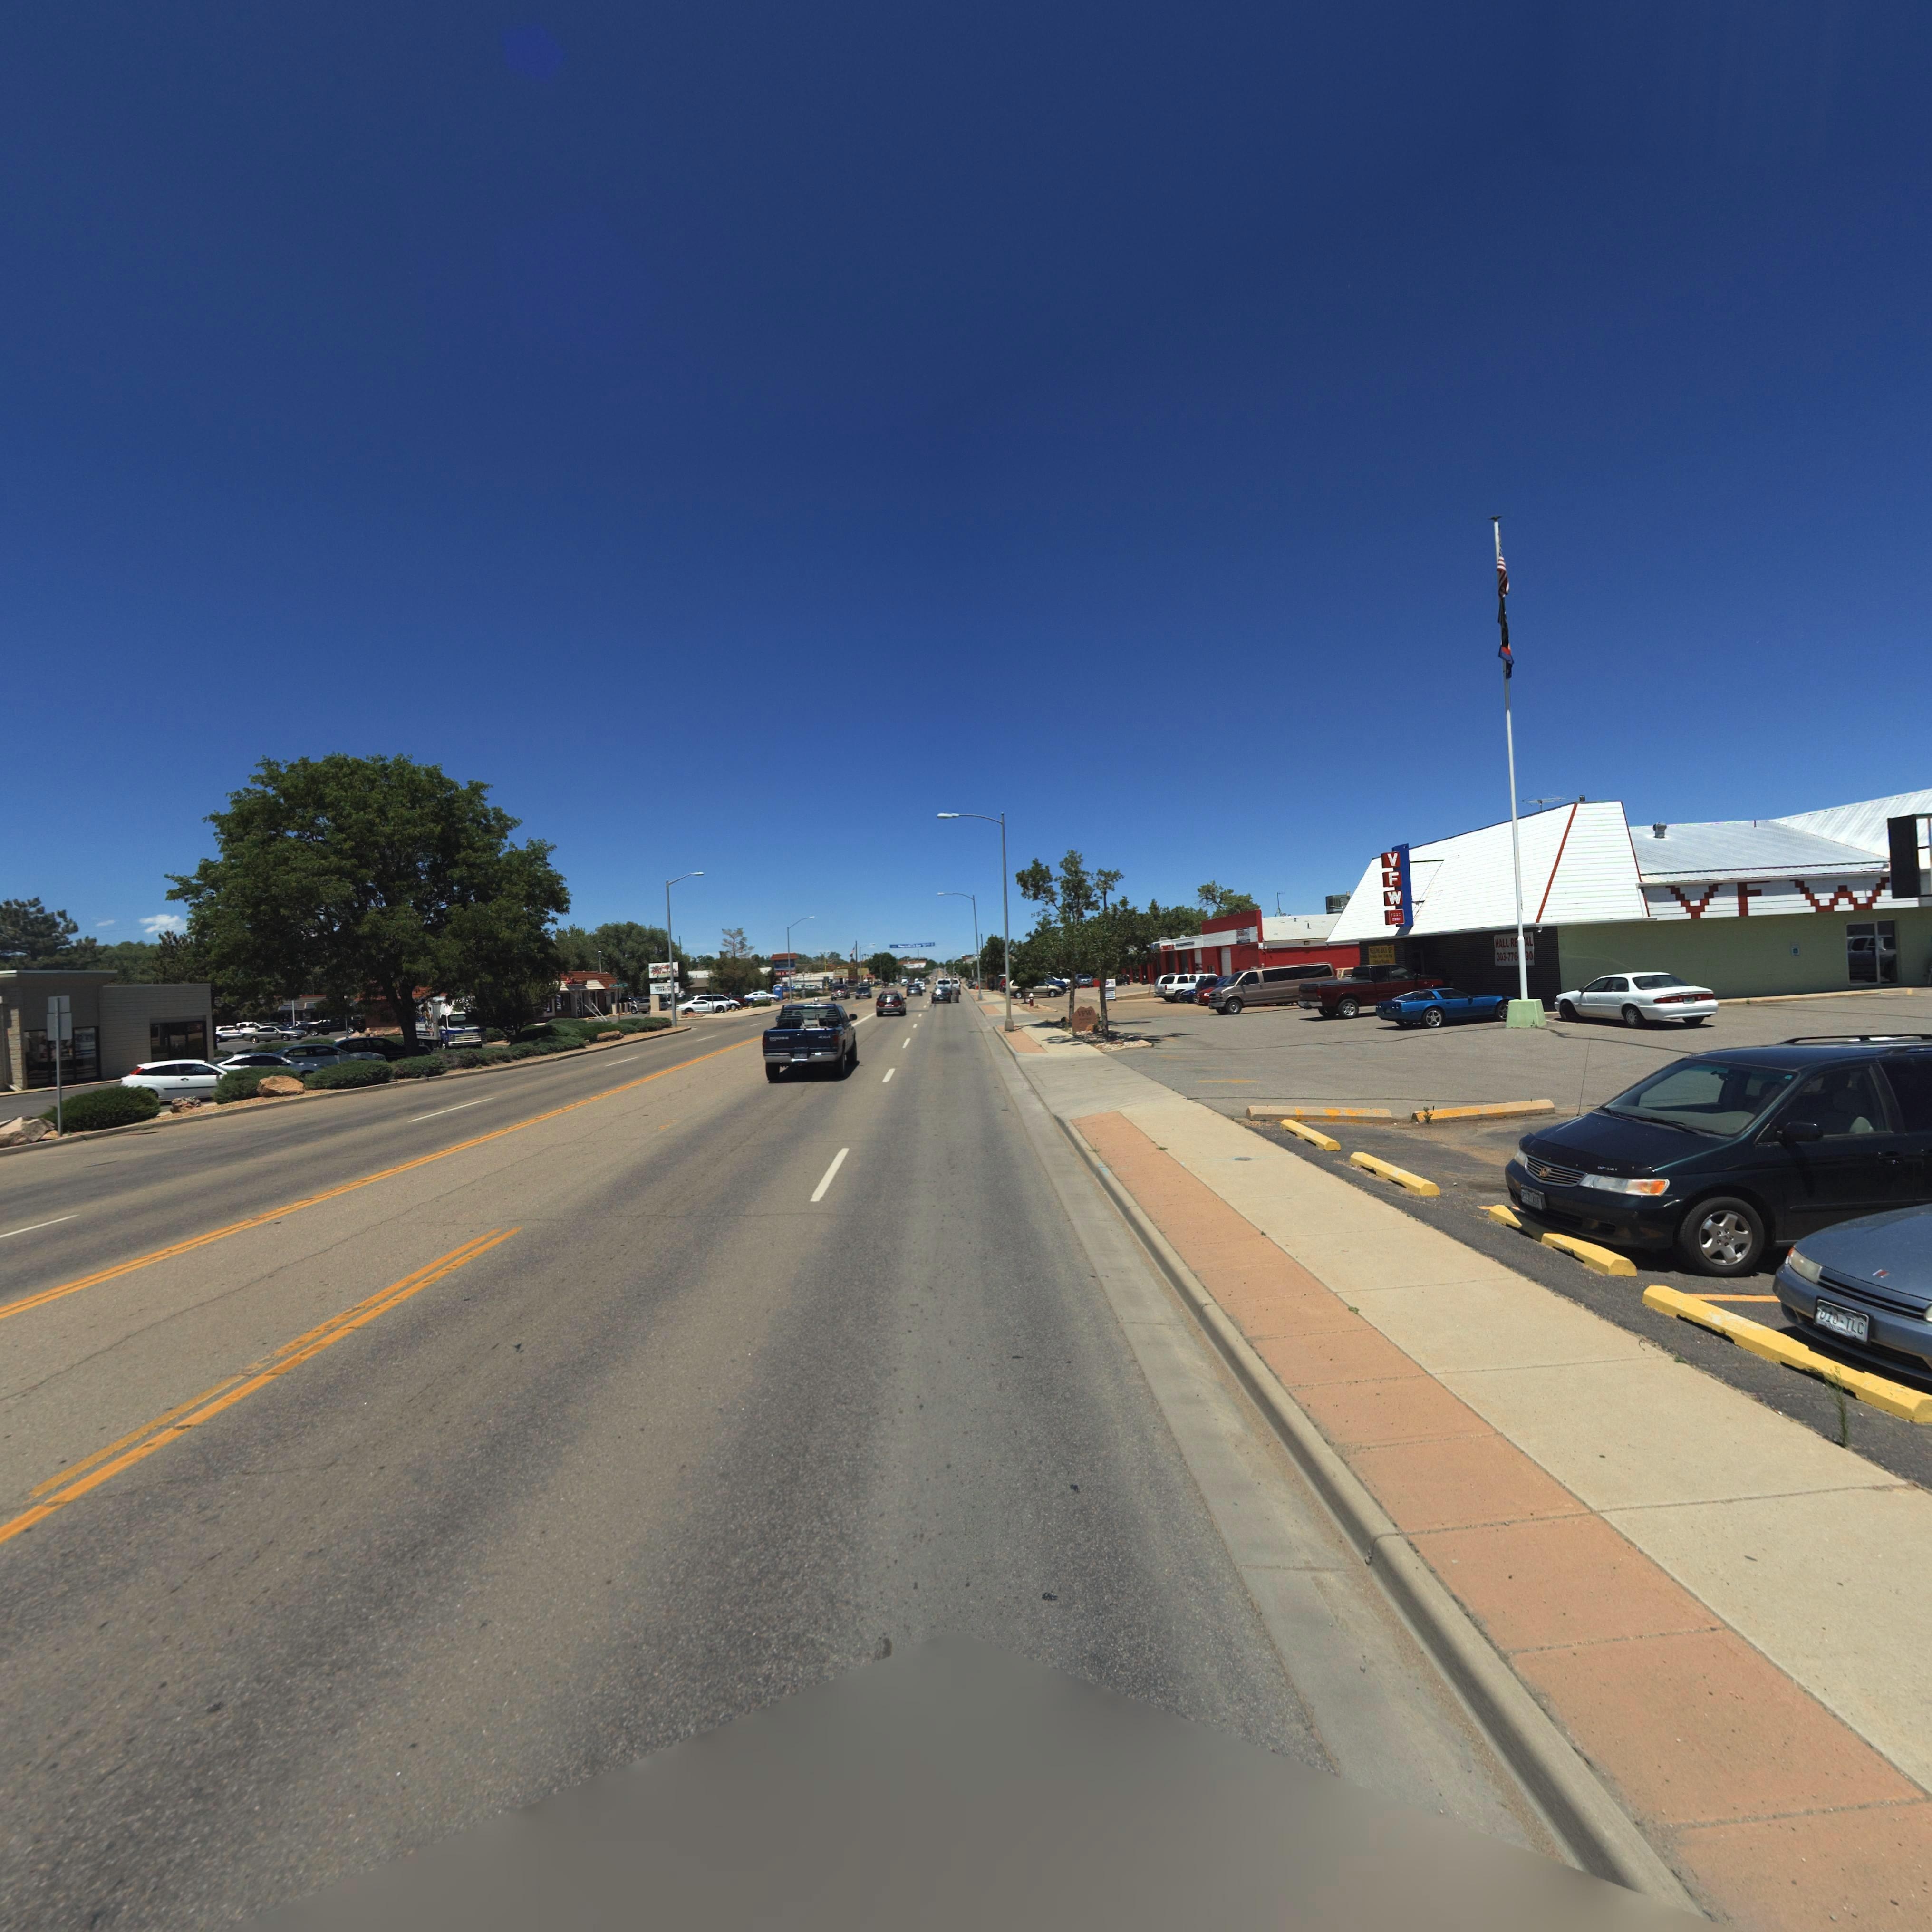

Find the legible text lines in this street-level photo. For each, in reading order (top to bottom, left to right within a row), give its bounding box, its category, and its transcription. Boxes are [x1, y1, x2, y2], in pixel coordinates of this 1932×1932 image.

[1386, 852, 1401, 904] BusinessName: VFW
[1664, 875, 1893, 918] BusinessName: VFW
[1392, 917, 1401, 921] StreetNumber: 2***
[1077, 1010, 1092, 1016] BusinessName: VFW